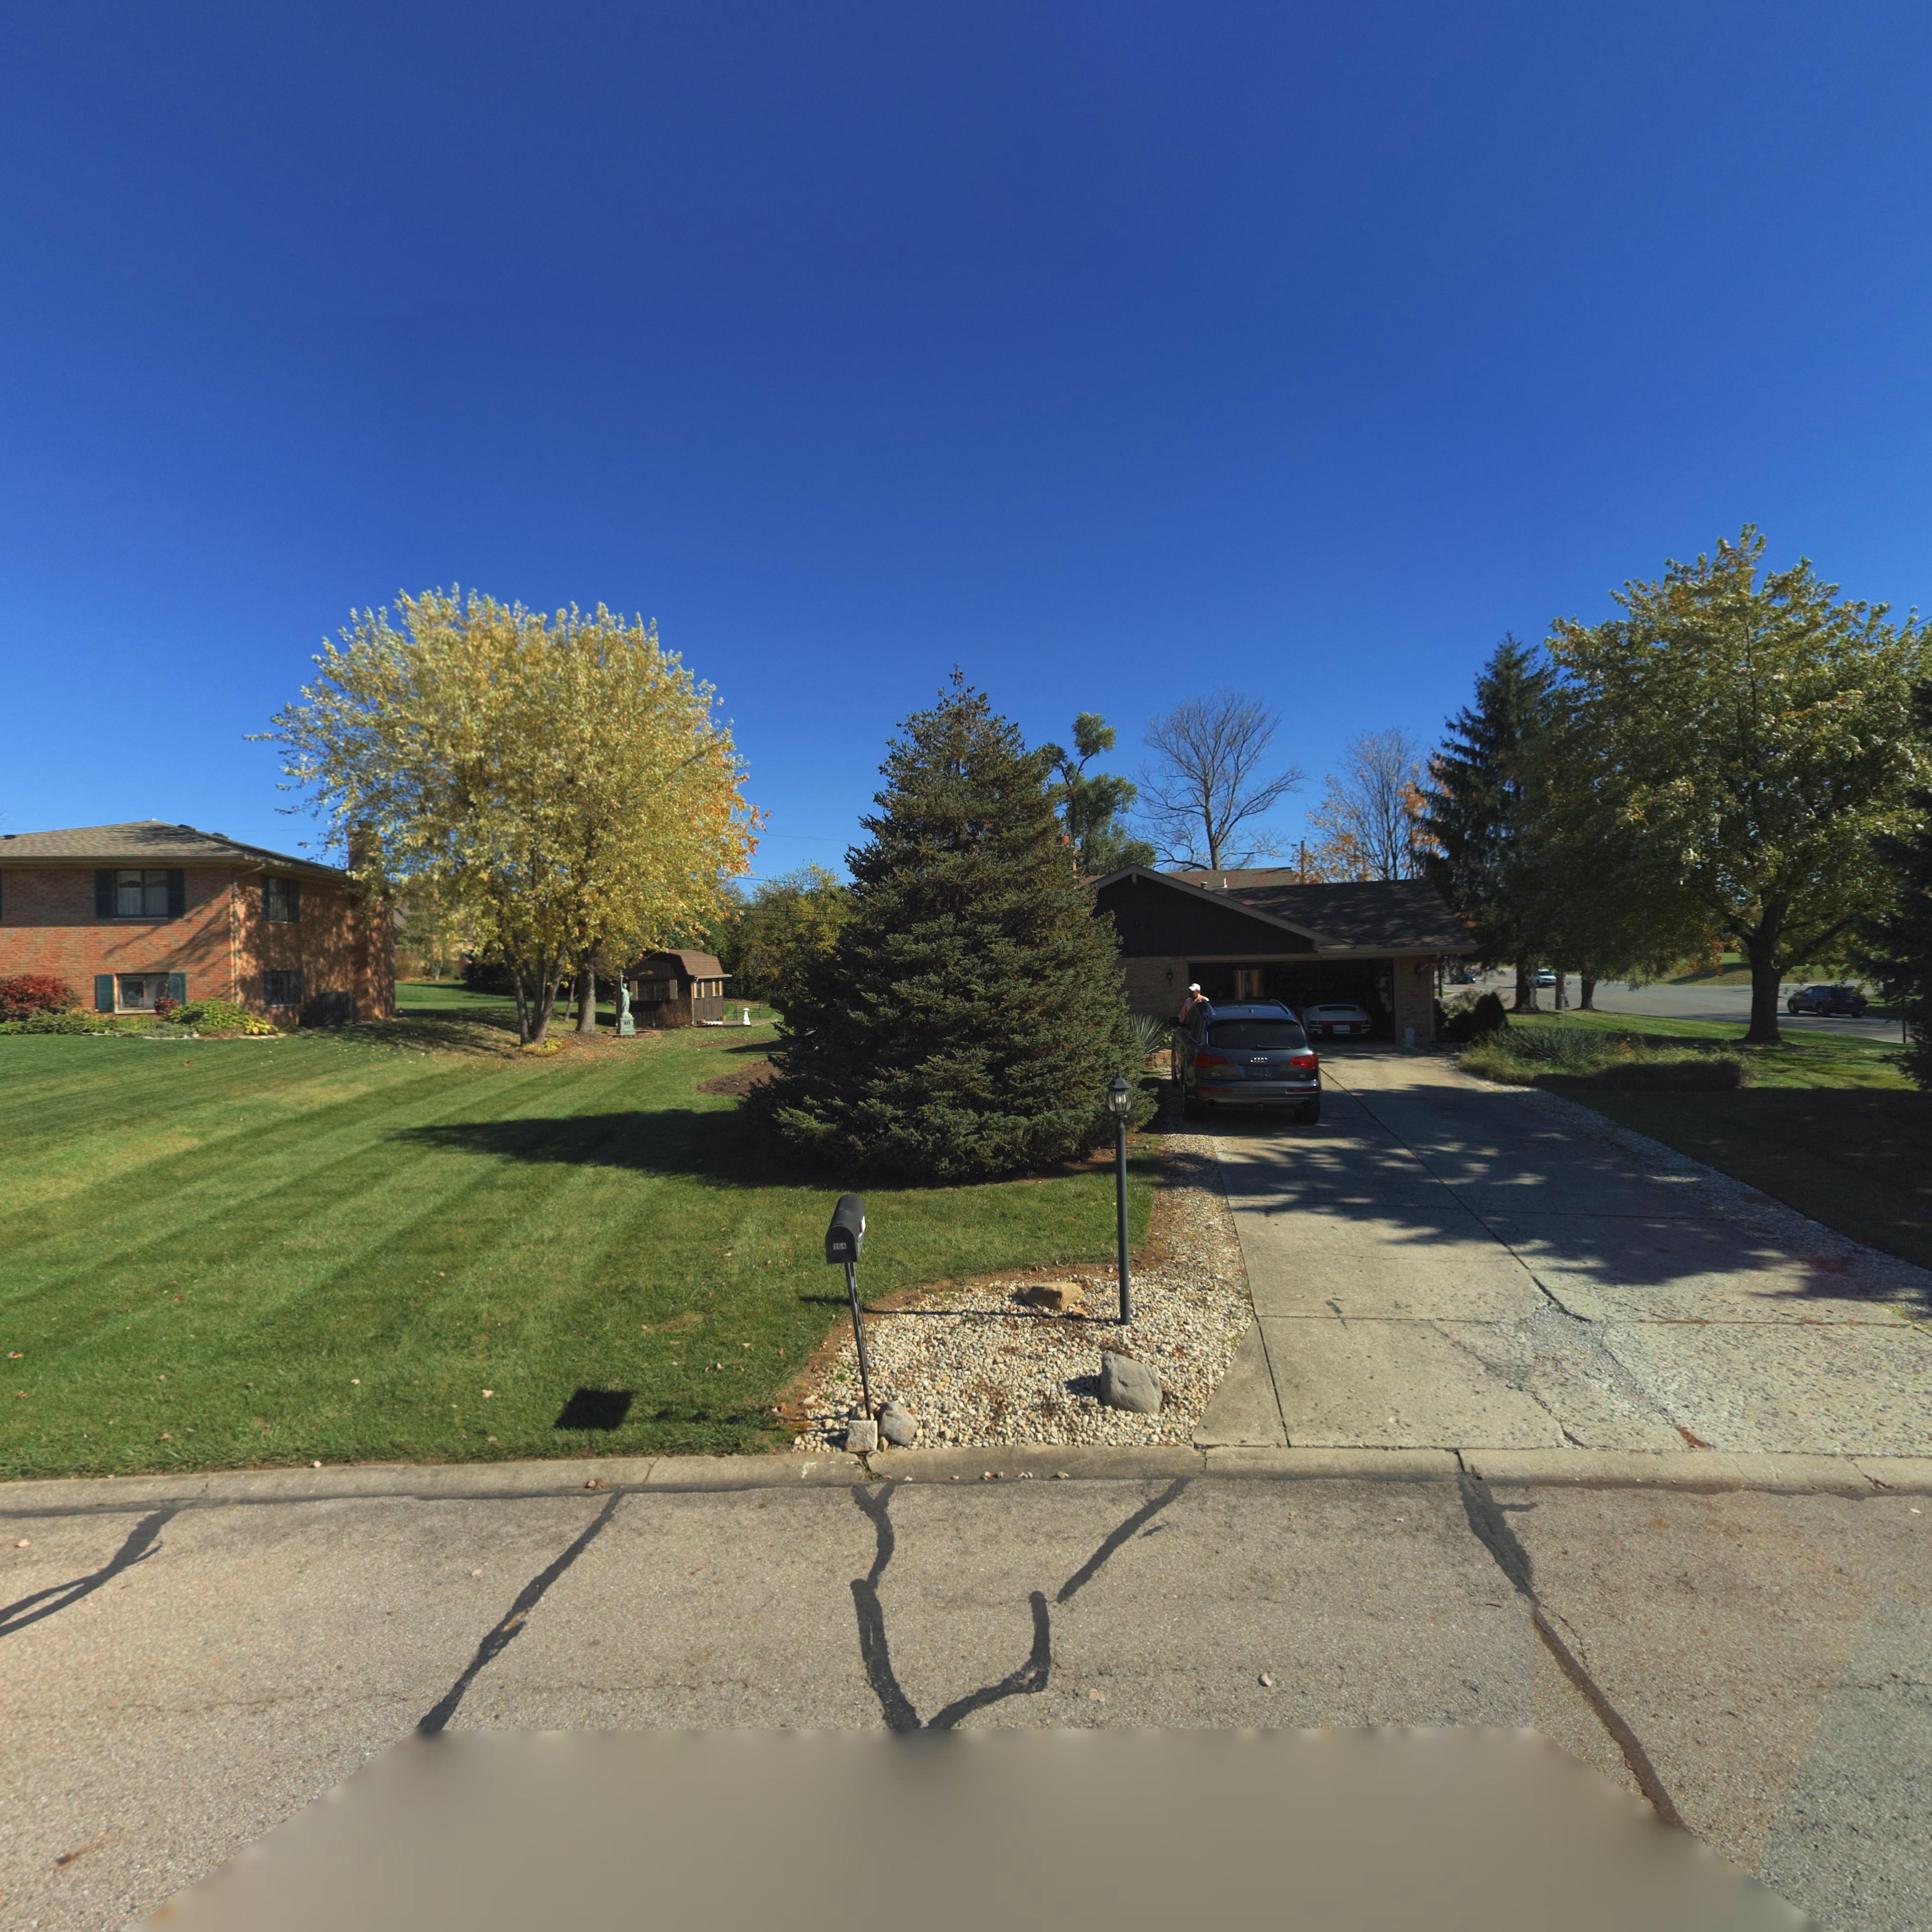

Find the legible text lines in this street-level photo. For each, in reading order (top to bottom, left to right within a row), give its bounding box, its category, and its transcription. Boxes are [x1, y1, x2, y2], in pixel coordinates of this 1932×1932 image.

[833, 1243, 846, 1250] StreetNumber: 3*4